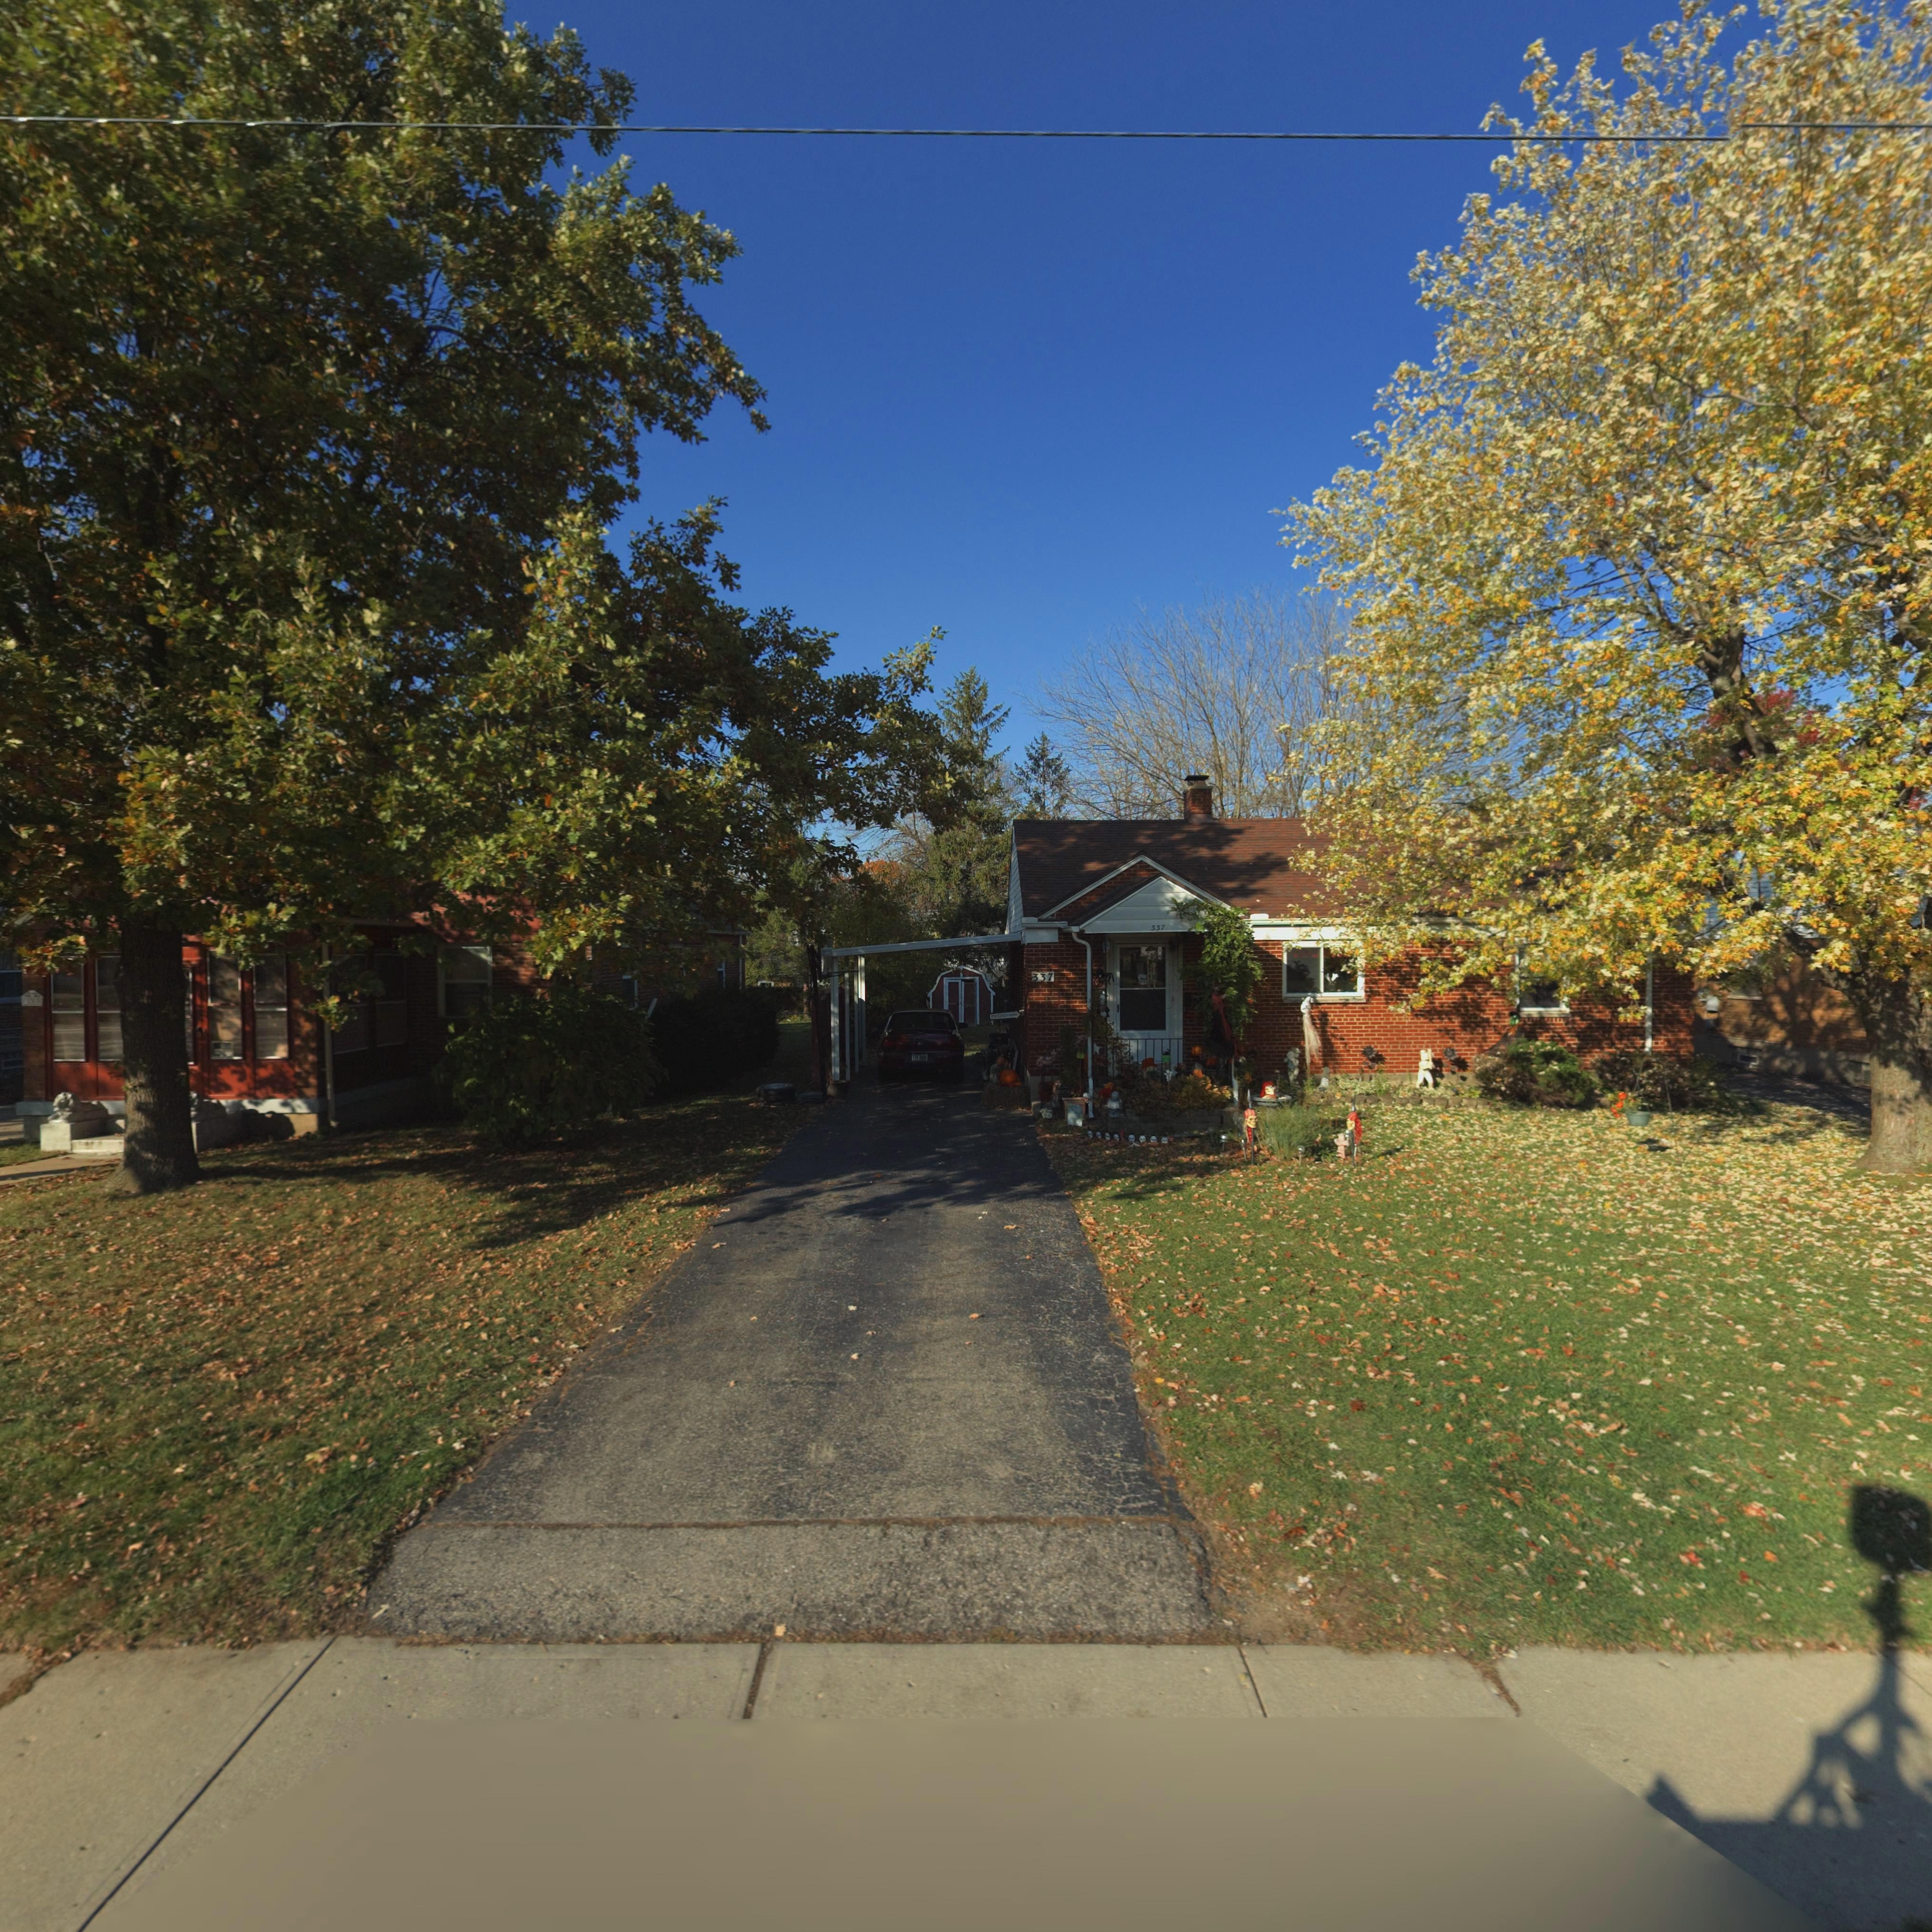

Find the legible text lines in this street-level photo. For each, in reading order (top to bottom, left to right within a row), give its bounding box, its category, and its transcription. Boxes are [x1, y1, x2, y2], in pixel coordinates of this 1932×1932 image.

[1150, 924, 1167, 932] StreetNumber: 337
[1032, 972, 1053, 983] StreetNumber: 337